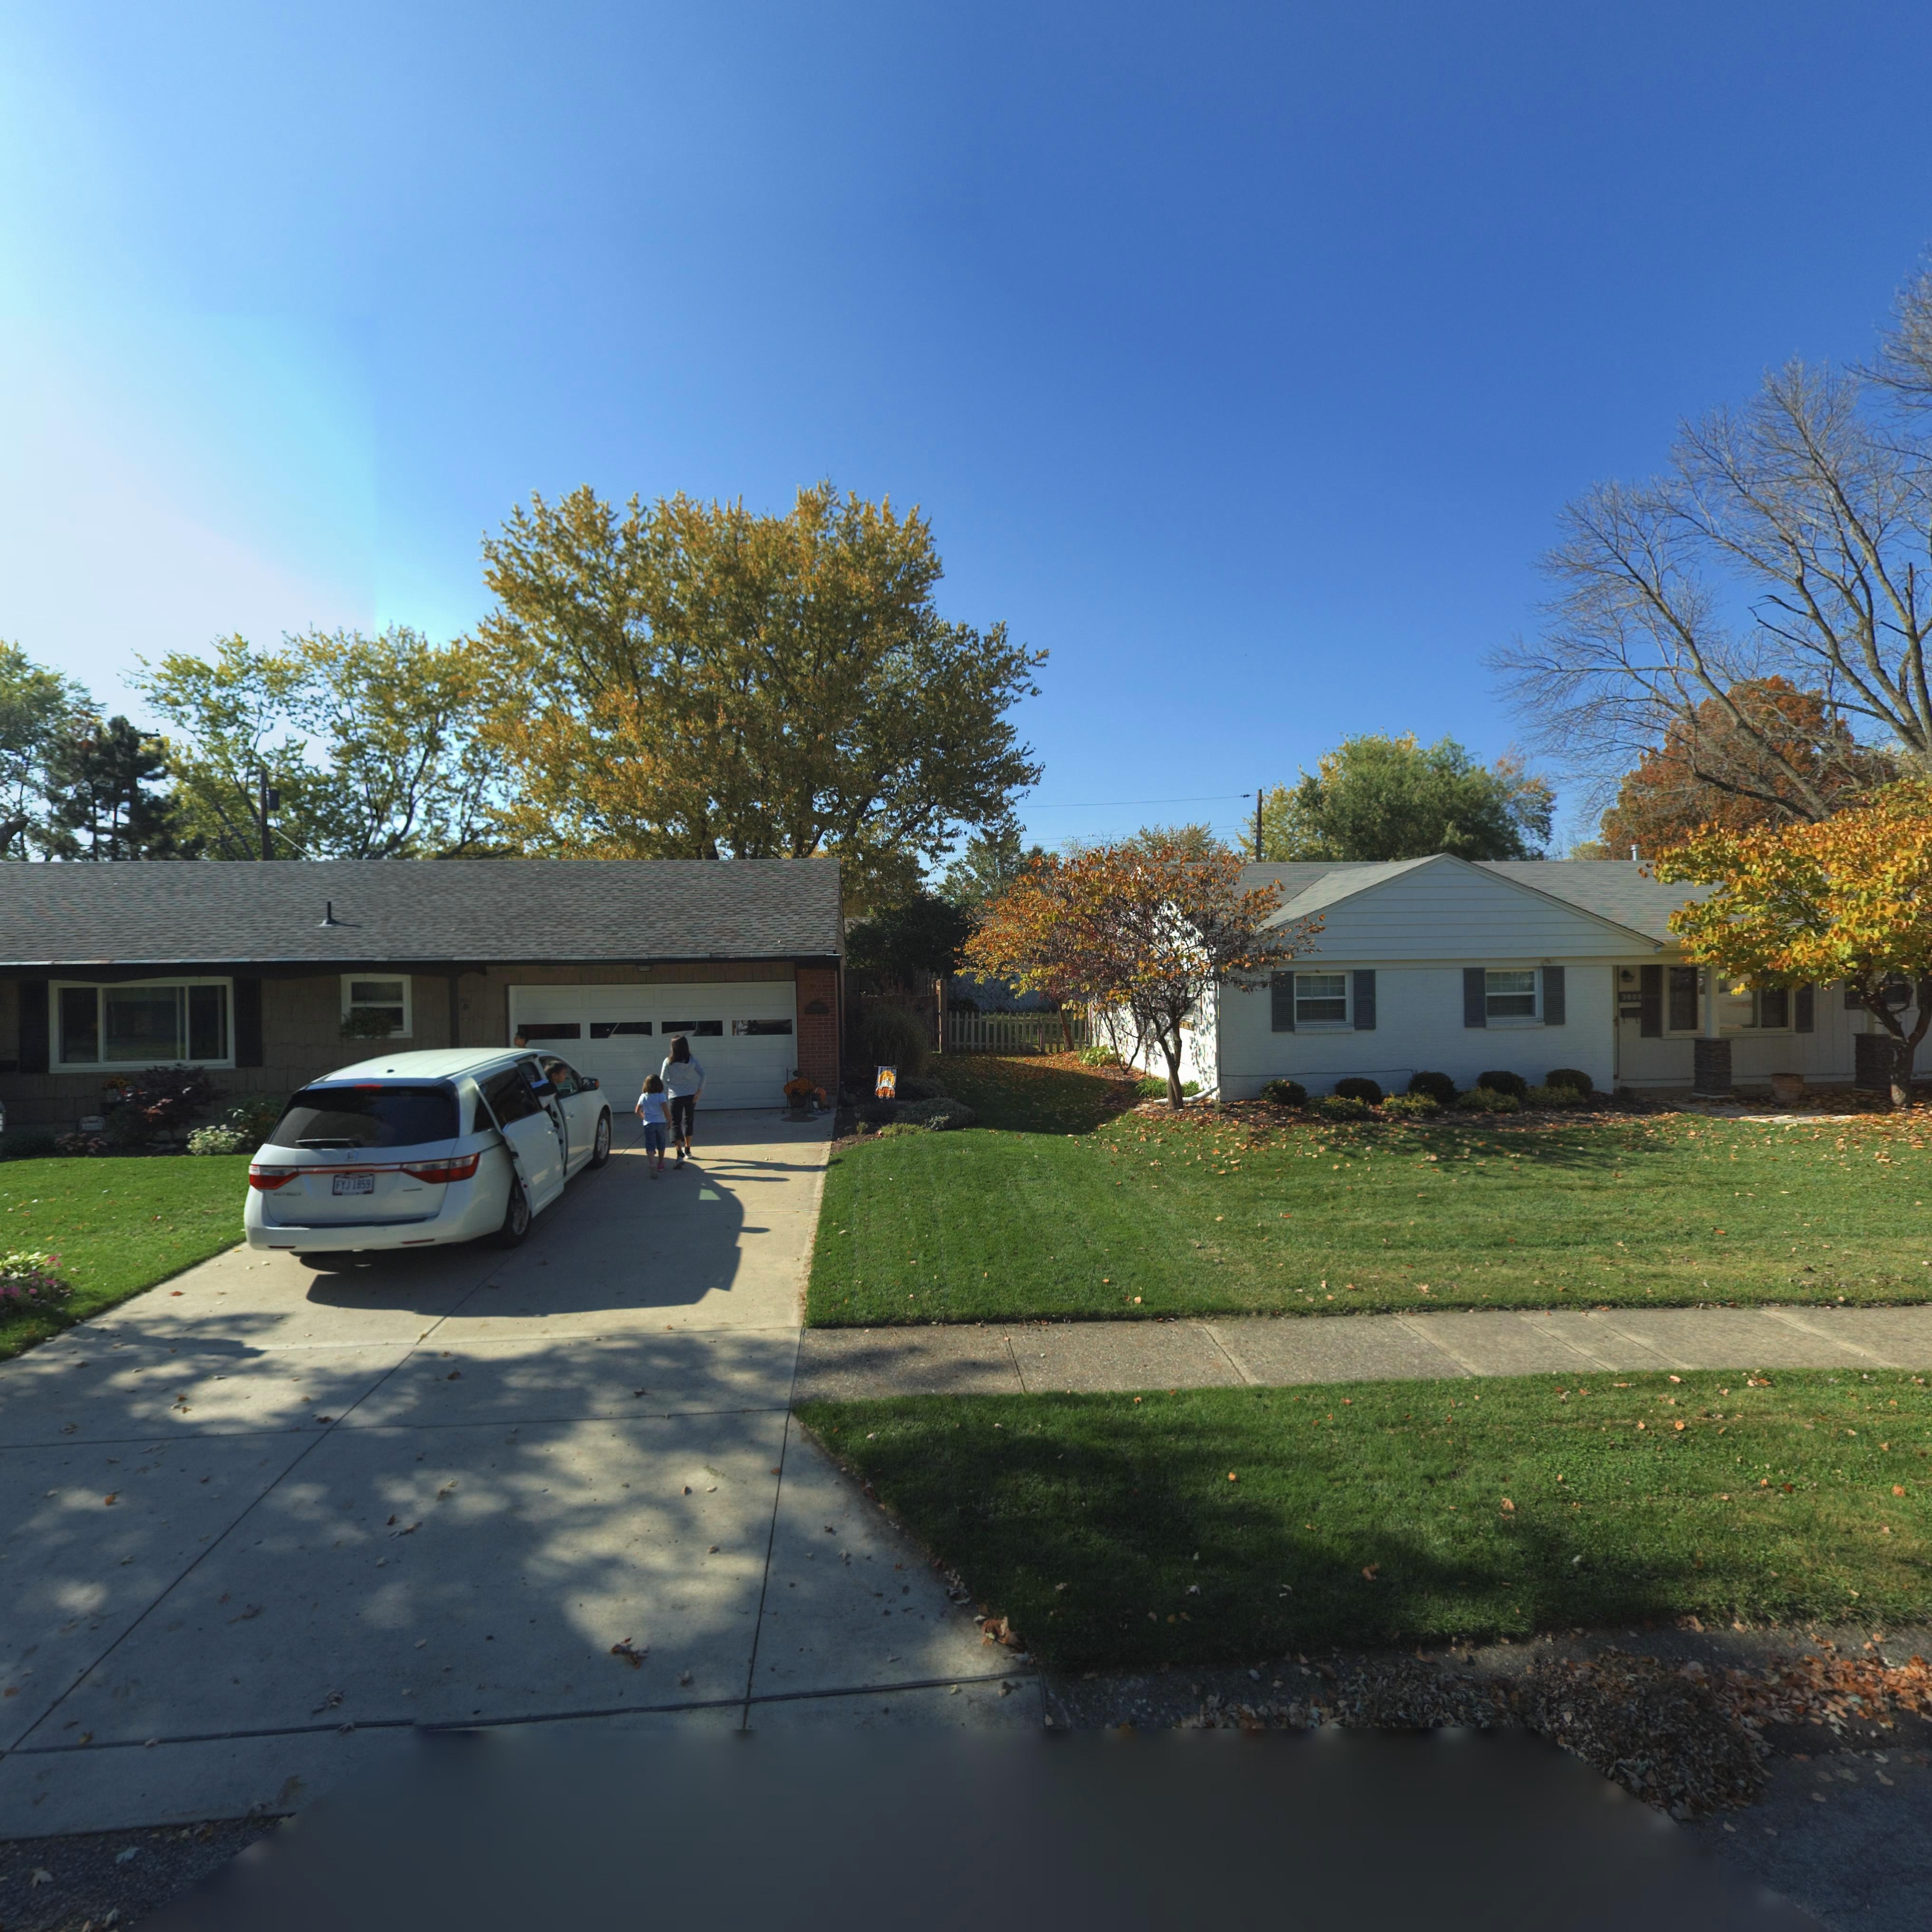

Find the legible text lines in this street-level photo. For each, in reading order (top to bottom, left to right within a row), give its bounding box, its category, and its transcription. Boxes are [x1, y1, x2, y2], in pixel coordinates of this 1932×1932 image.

[1621, 993, 1642, 1001] StreetNumber: 3605
[81, 1122, 104, 1129] StreetNumber: 3609
[335, 1179, 371, 1189] None: FYJ1859
[272, 1190, 301, 1196] None: ODESSEY